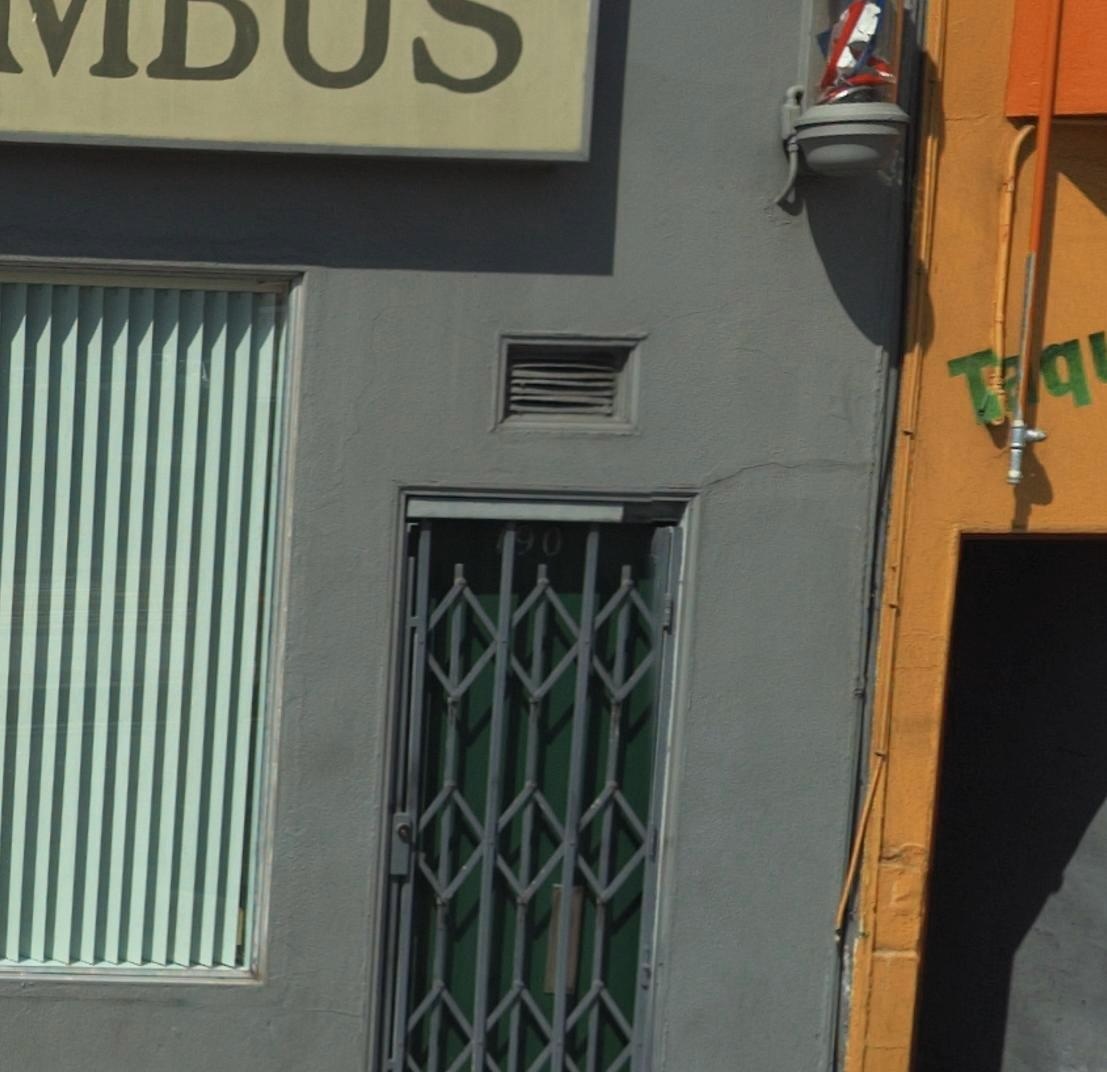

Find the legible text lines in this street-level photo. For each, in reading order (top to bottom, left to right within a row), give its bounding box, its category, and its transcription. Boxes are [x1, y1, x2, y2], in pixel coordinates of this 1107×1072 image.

[941, 316, 1099, 429] None: T*q
[495, 521, 568, 558] StreetNumber: *90